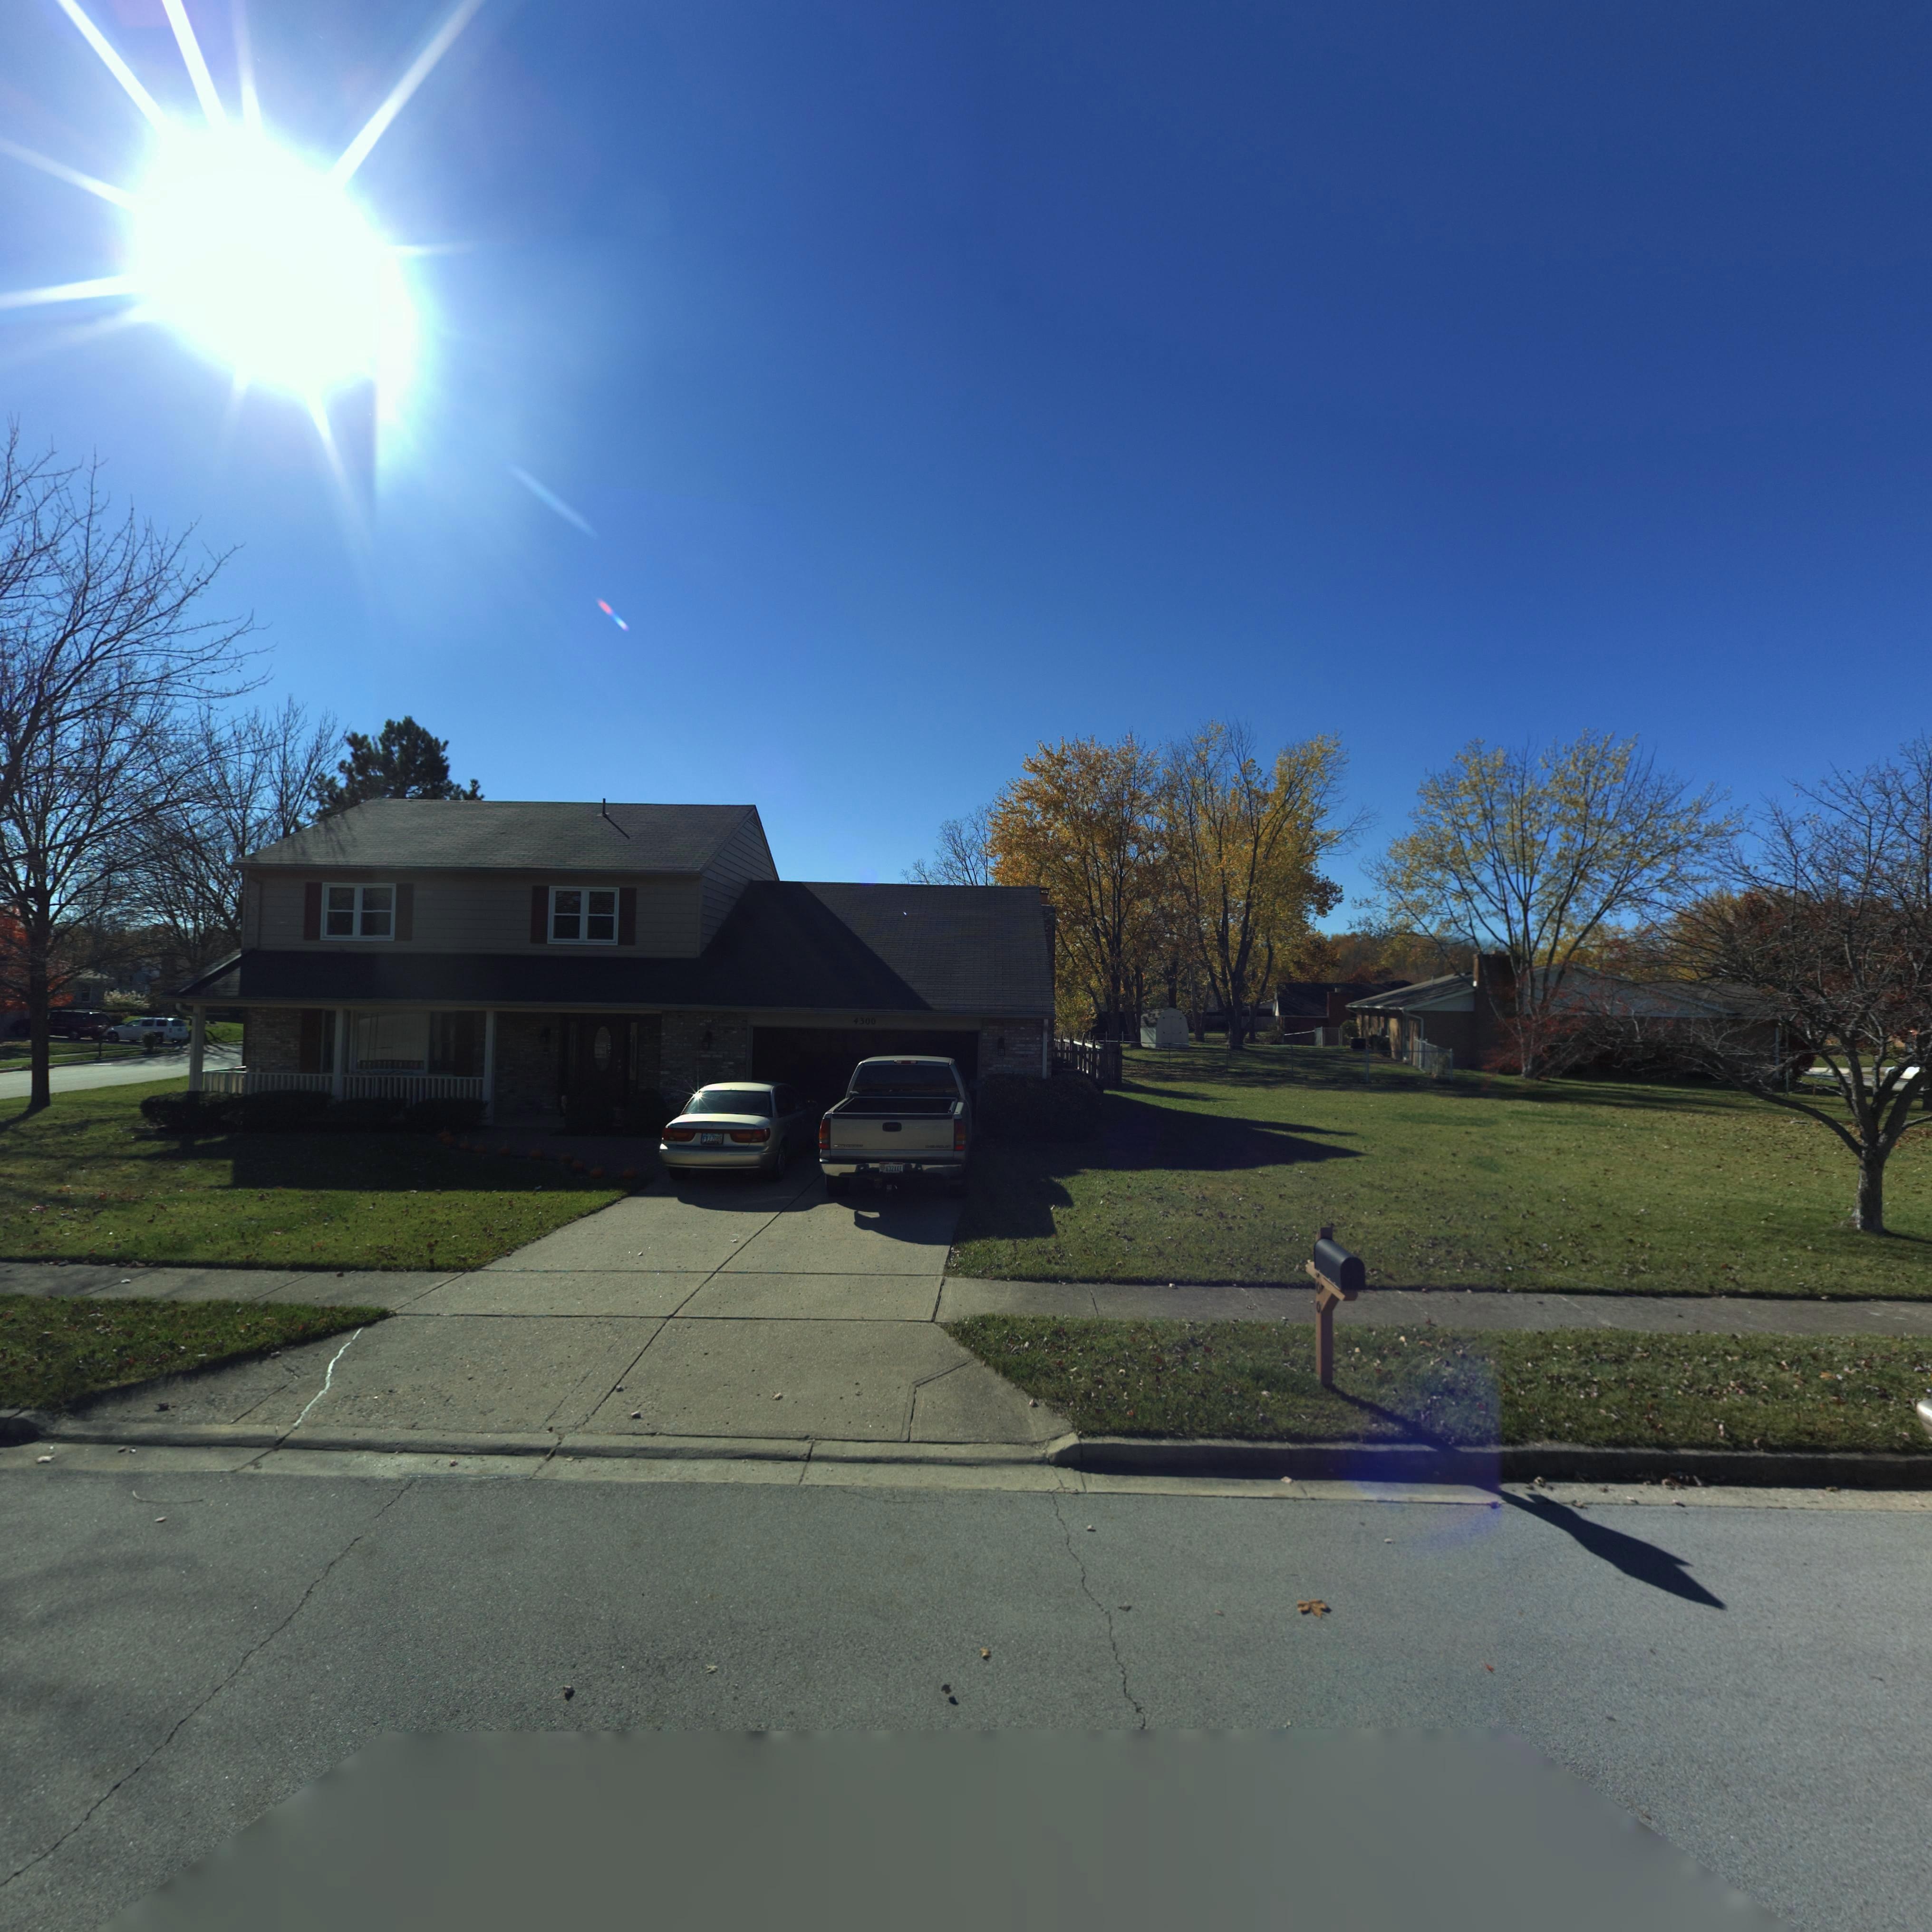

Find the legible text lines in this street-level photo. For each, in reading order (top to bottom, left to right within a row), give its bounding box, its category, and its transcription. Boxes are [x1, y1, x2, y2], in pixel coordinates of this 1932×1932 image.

[852, 1016, 876, 1025] StreetNumber: 4300
[1316, 1279, 1321, 1314] StreetNumber: 00